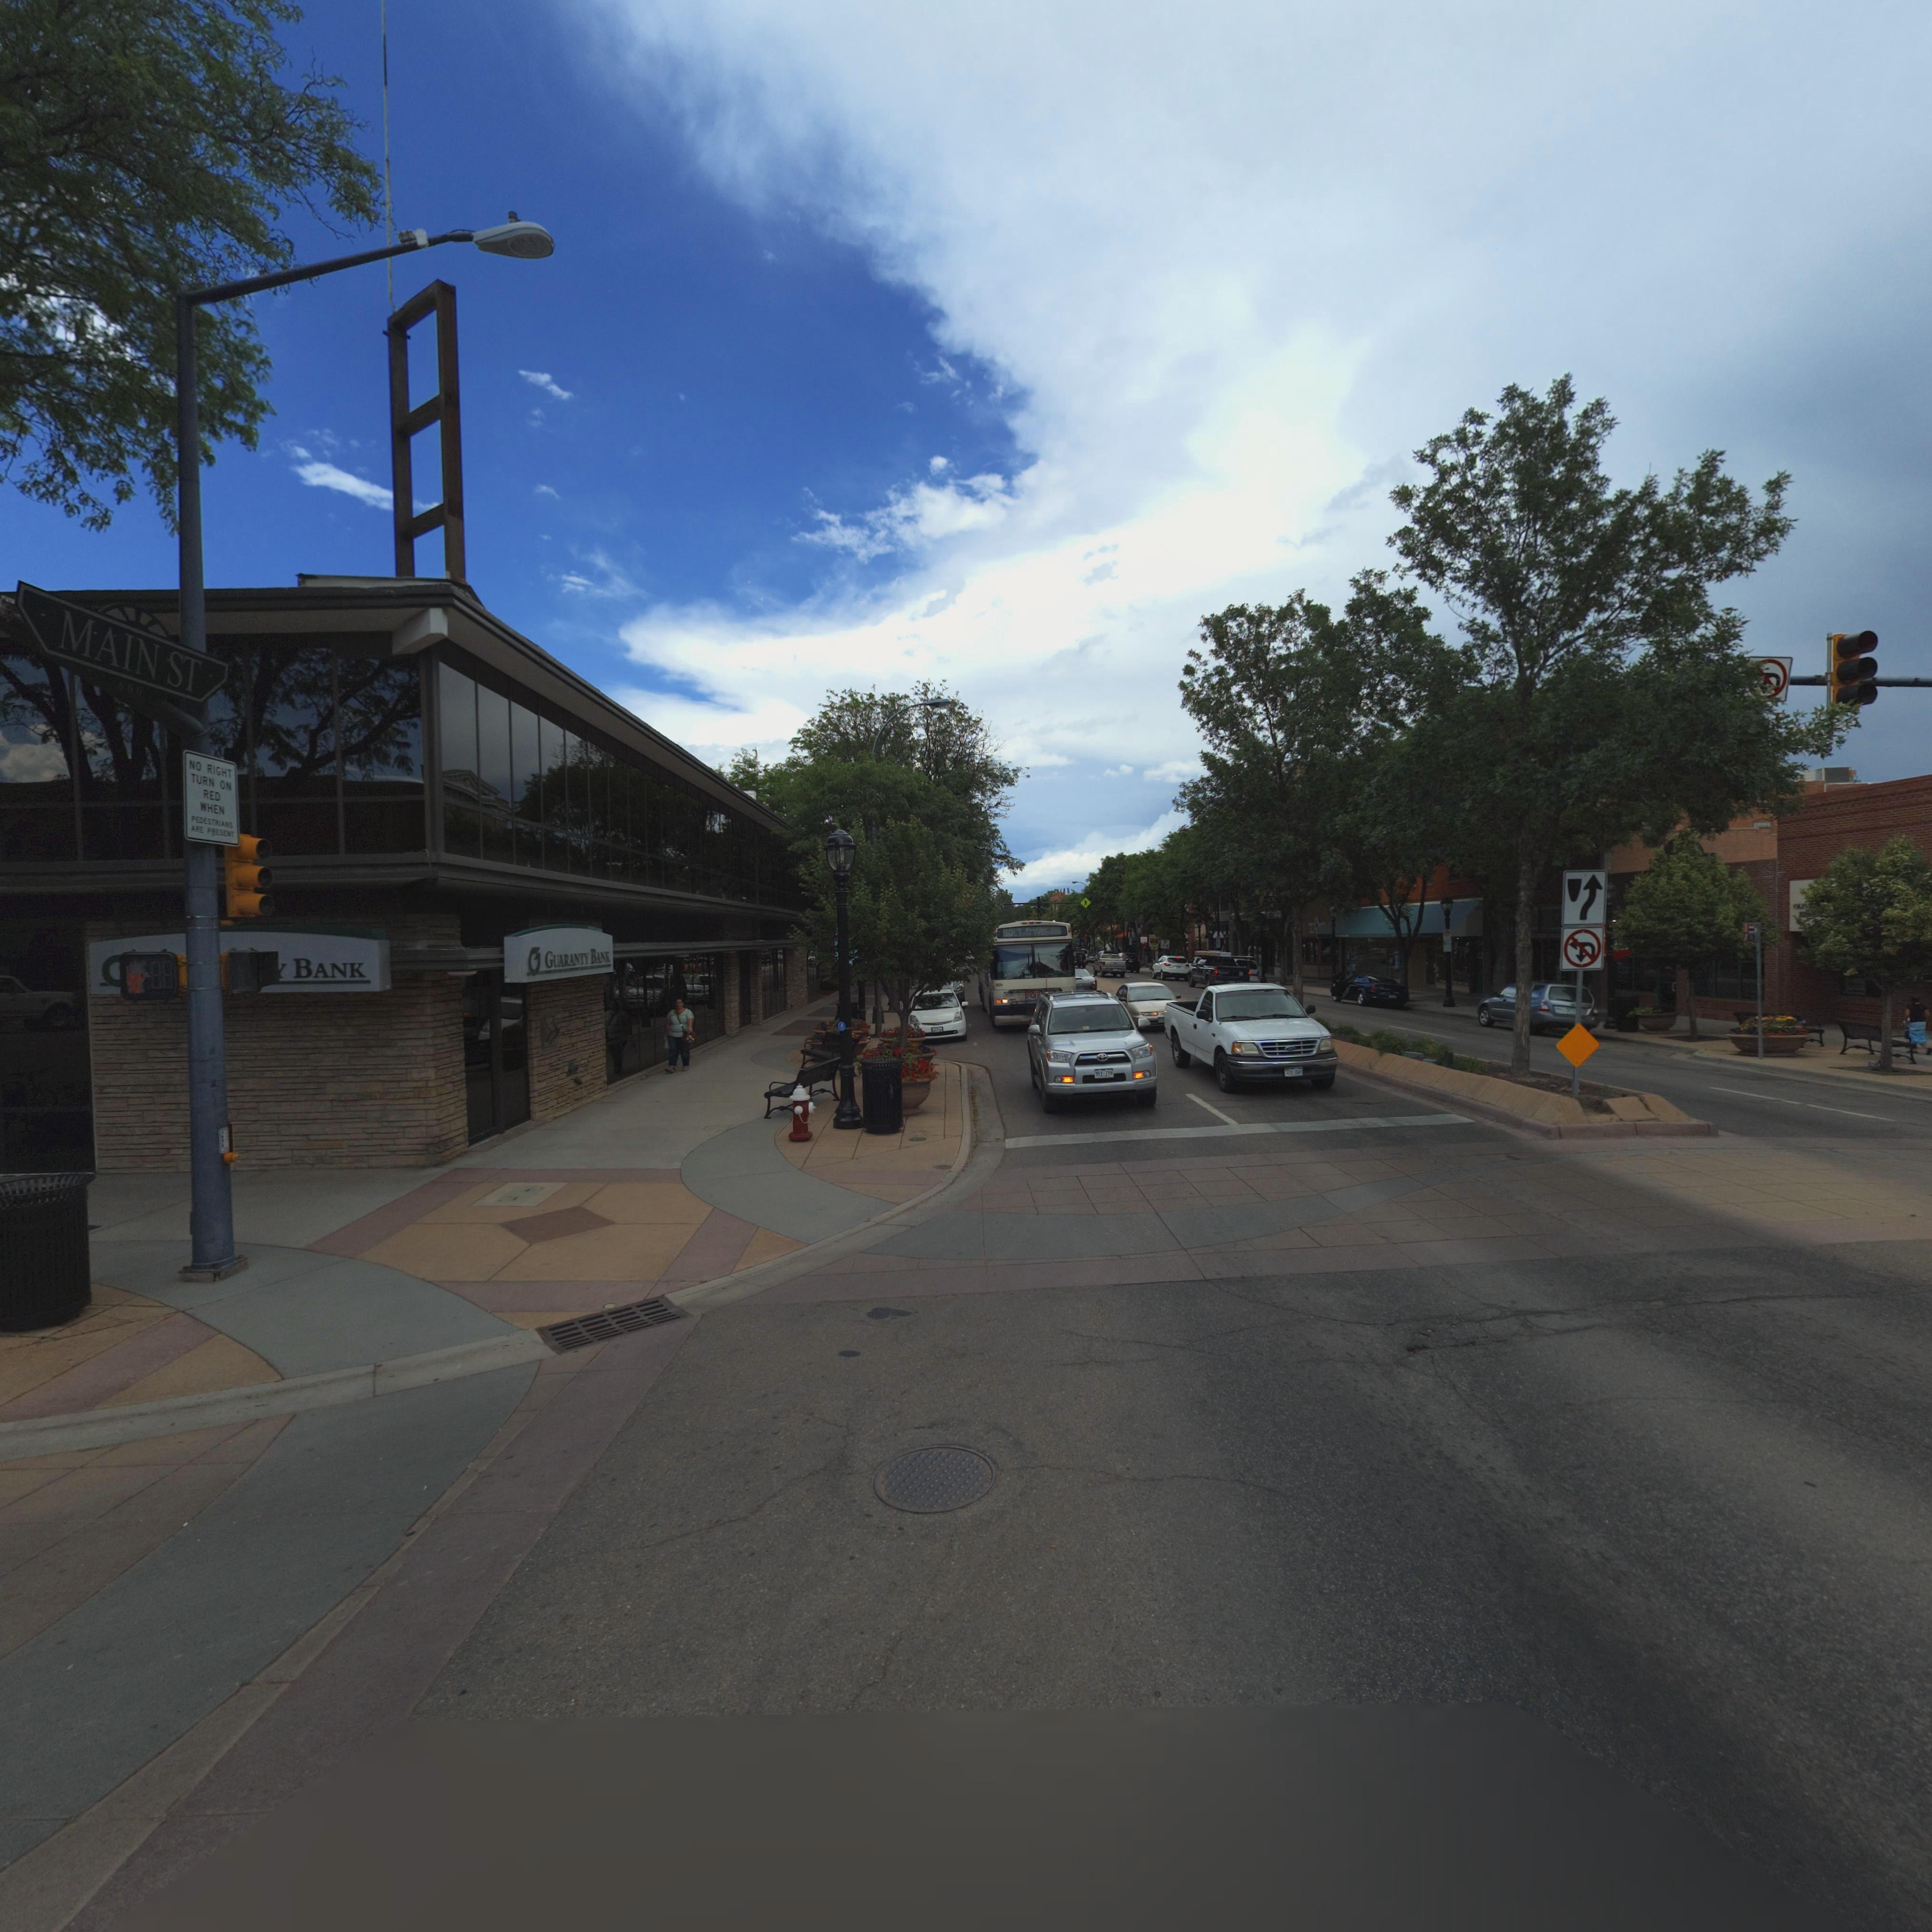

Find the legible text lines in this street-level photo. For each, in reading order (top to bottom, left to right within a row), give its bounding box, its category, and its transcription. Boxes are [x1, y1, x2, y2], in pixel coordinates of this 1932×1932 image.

[58, 608, 203, 692] StreetName: MAIN ST
[118, 680, 142, 696] StreetNumber: 600
[1792, 902, 1812, 910] BusinessName: OL*
[278, 958, 367, 978] BusinessName: * BANK
[544, 948, 611, 968] BusinessName: GUARANTY BANK